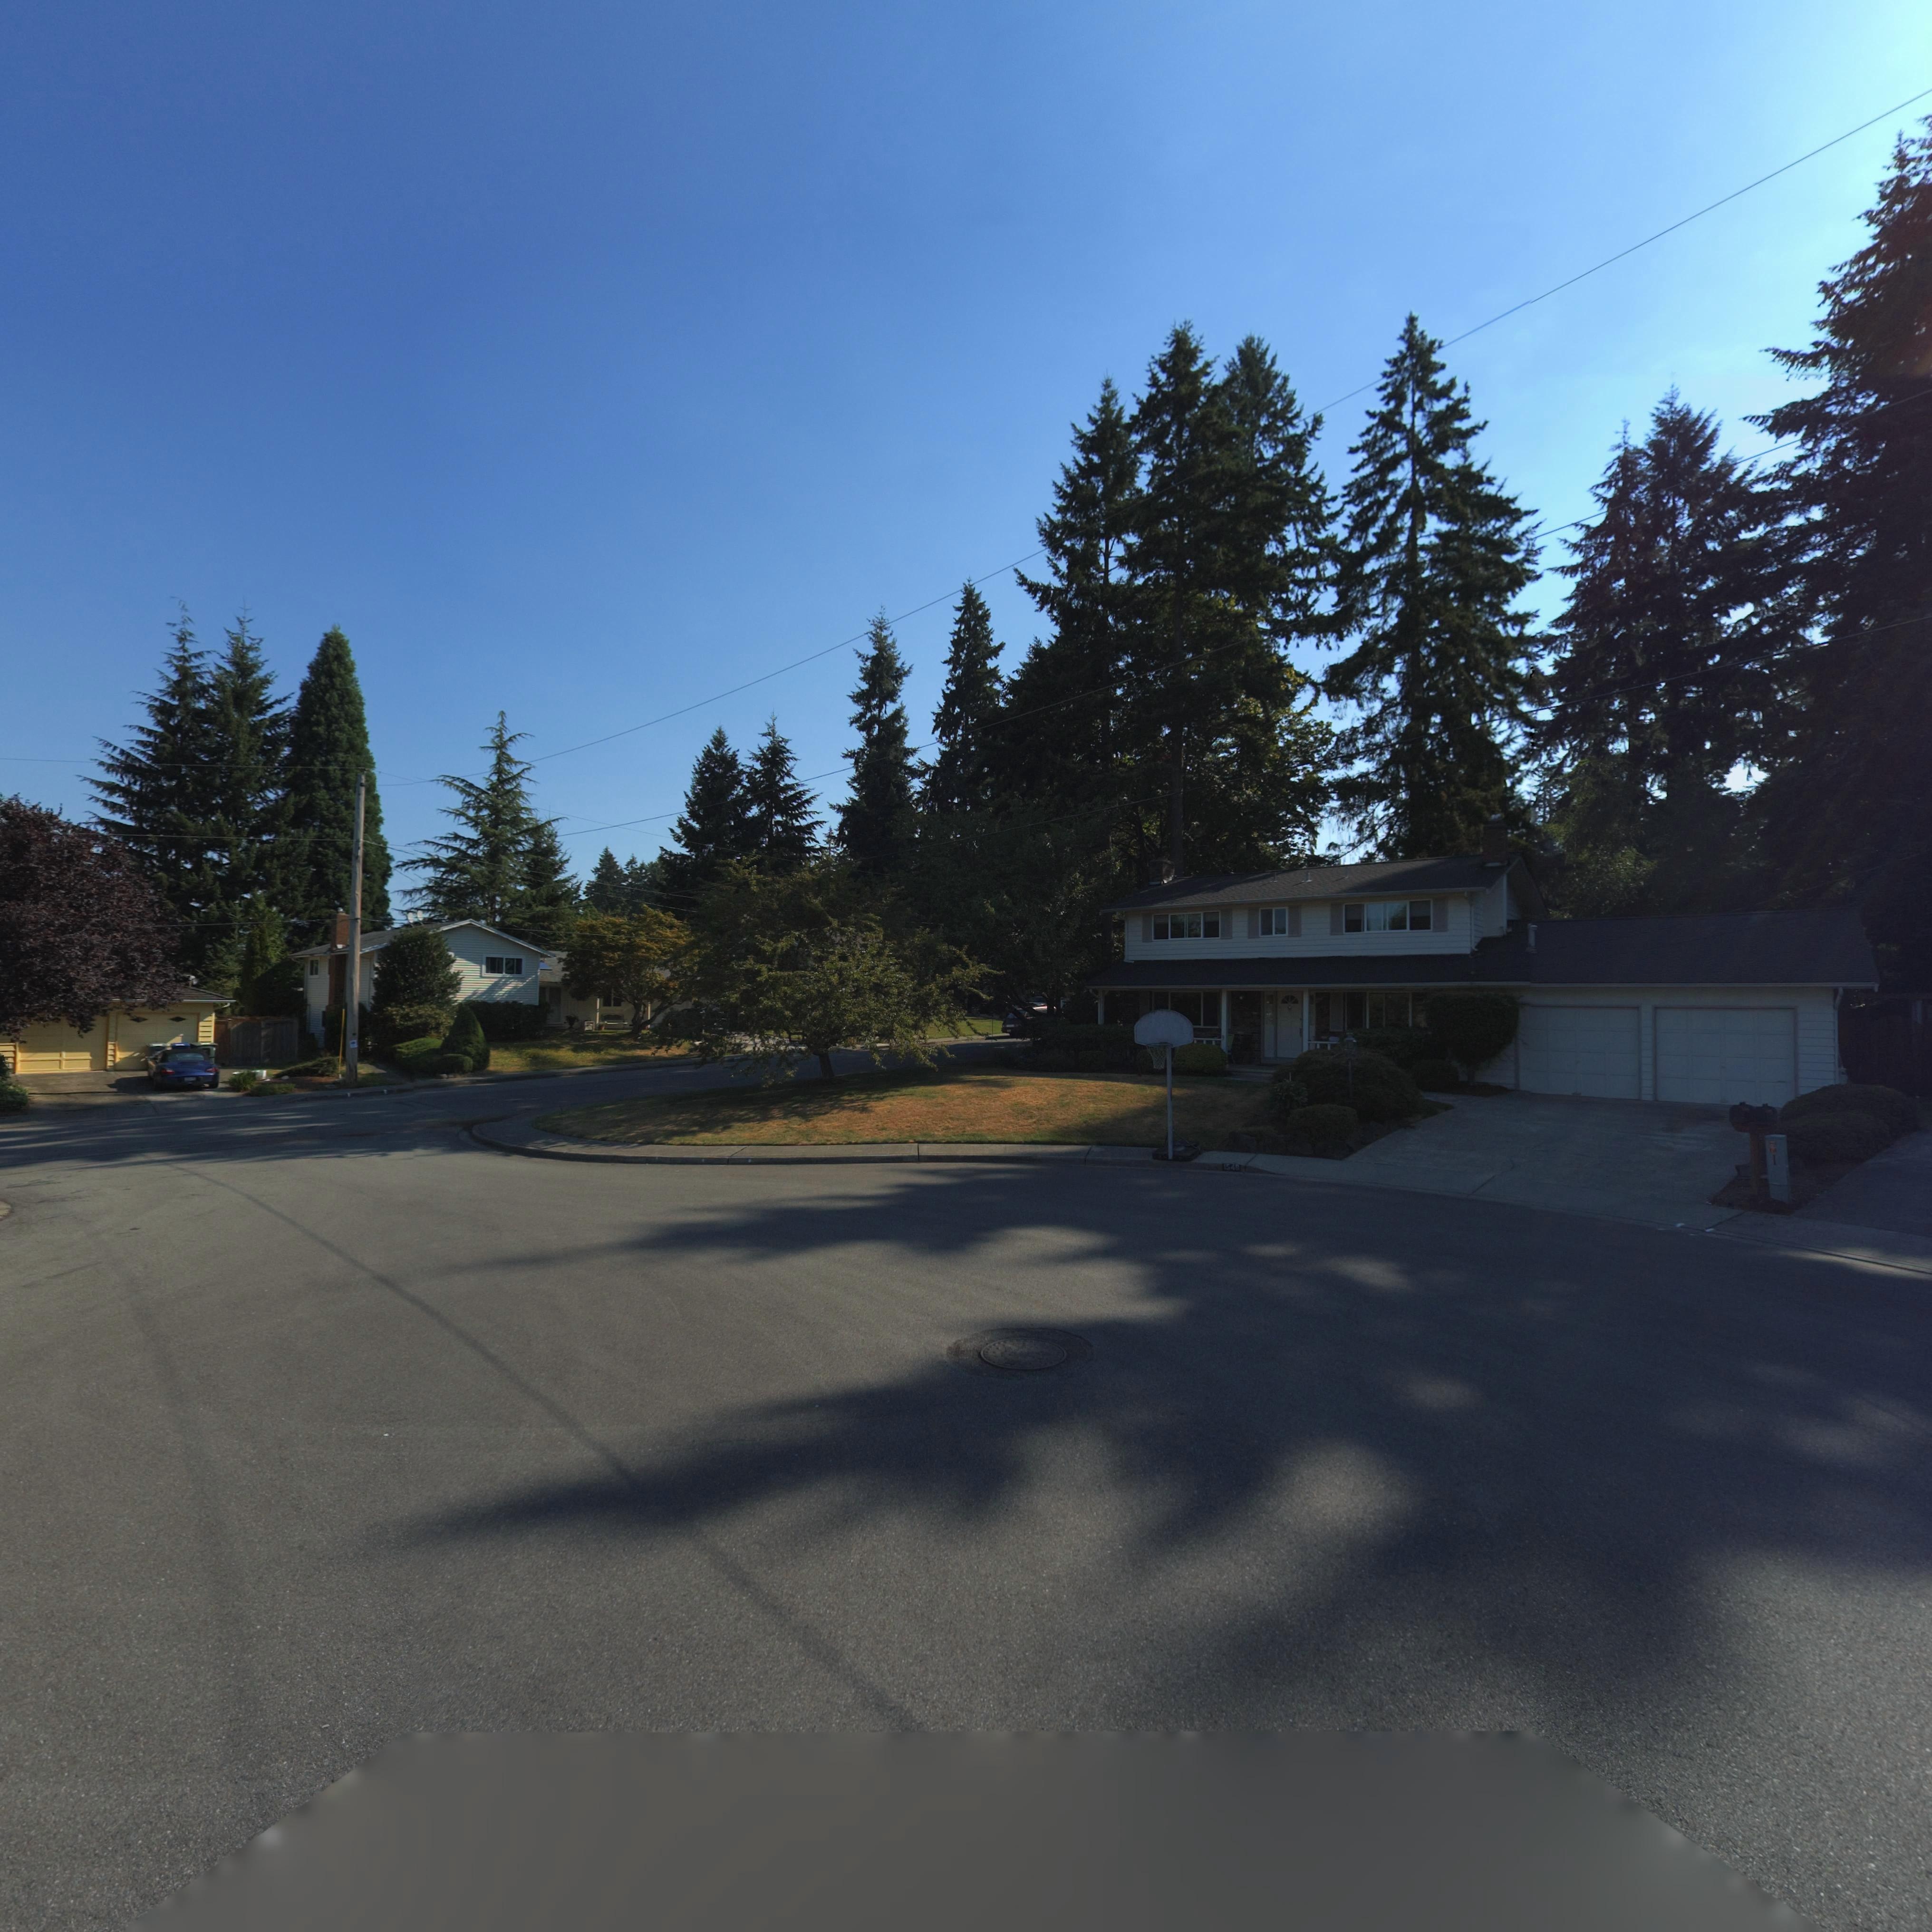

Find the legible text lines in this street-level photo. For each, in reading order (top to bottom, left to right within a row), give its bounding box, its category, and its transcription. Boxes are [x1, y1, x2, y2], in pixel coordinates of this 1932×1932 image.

[1222, 1164, 1241, 1172] StreetNumber: 154*